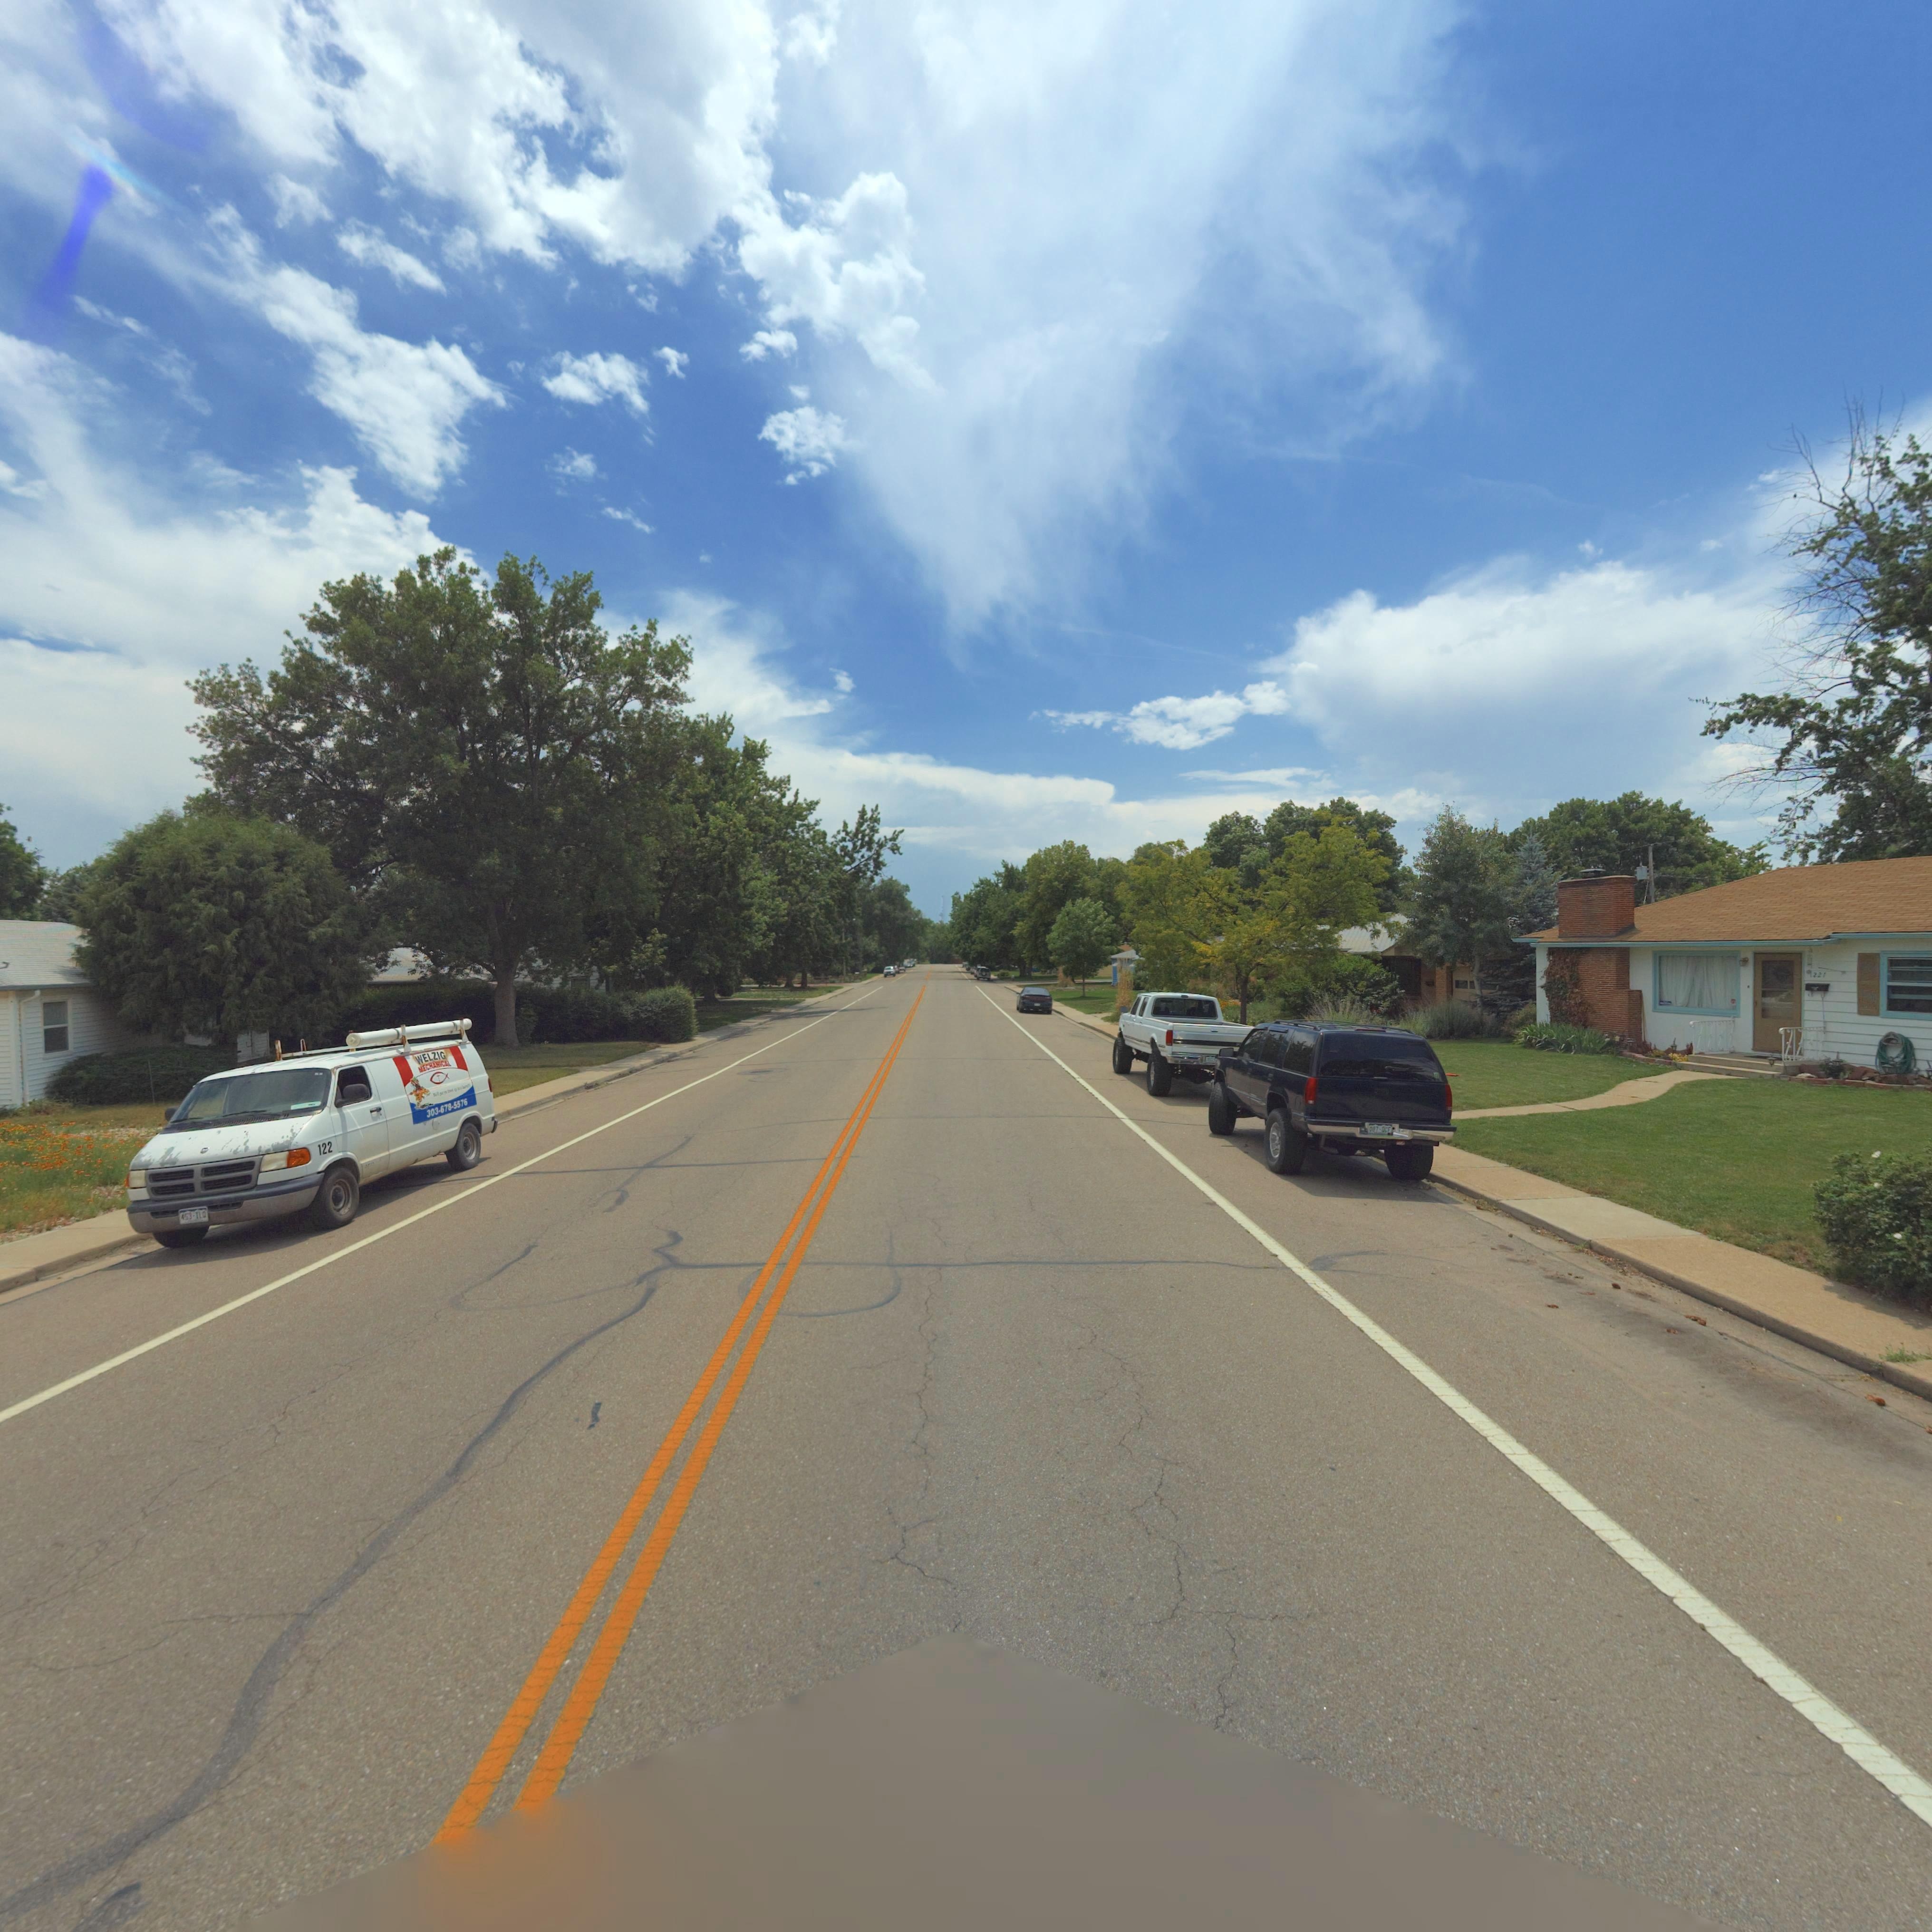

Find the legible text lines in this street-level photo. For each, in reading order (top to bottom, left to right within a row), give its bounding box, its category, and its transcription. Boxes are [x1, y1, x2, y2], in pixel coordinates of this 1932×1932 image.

[1809, 971, 1827, 978] StreetNumber: 1221